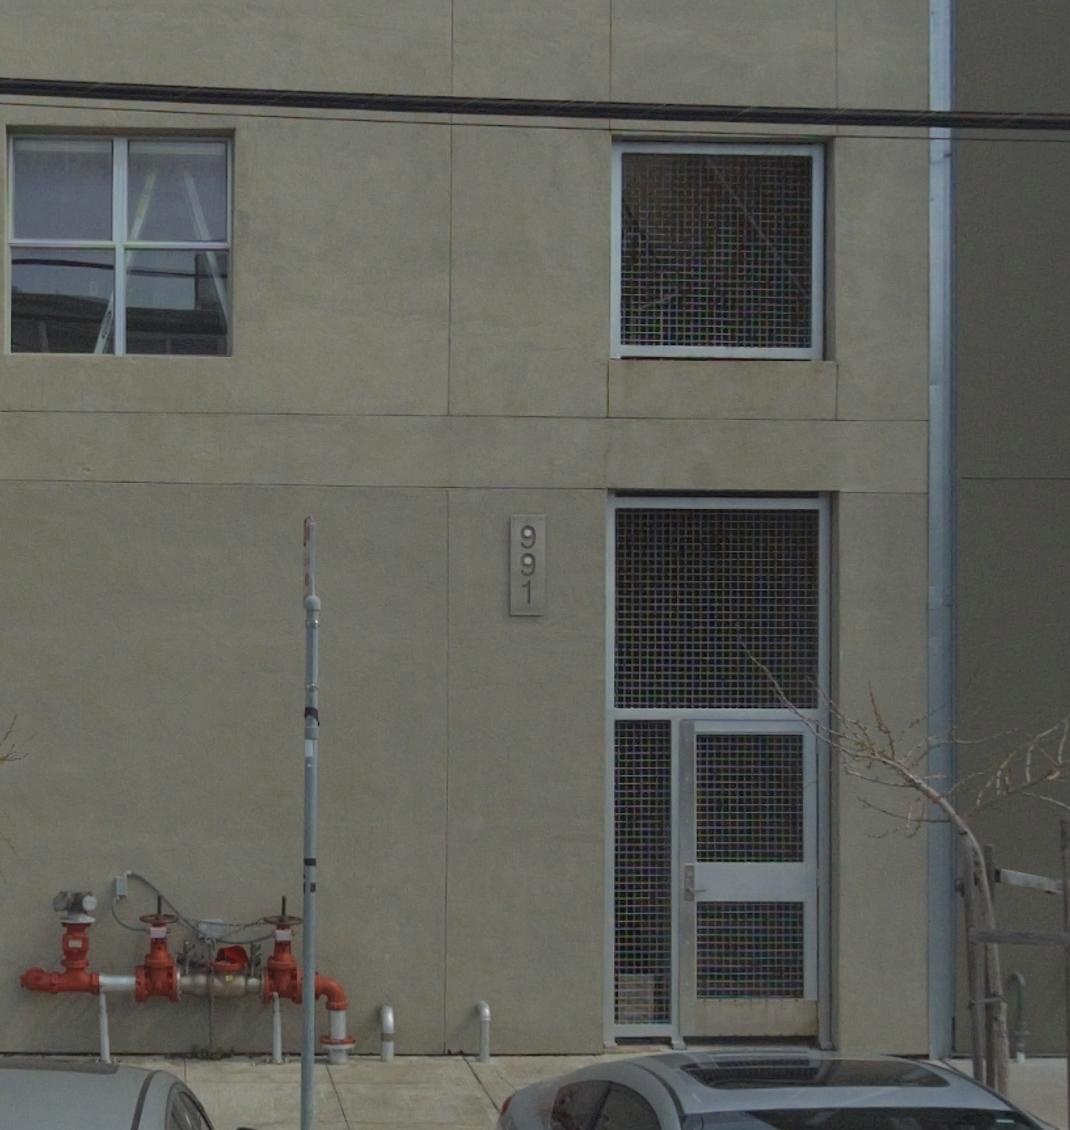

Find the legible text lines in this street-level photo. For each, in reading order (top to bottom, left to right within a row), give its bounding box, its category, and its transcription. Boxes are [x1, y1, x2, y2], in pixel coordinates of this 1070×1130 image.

[518, 523, 538, 606] StreetNumber: 991